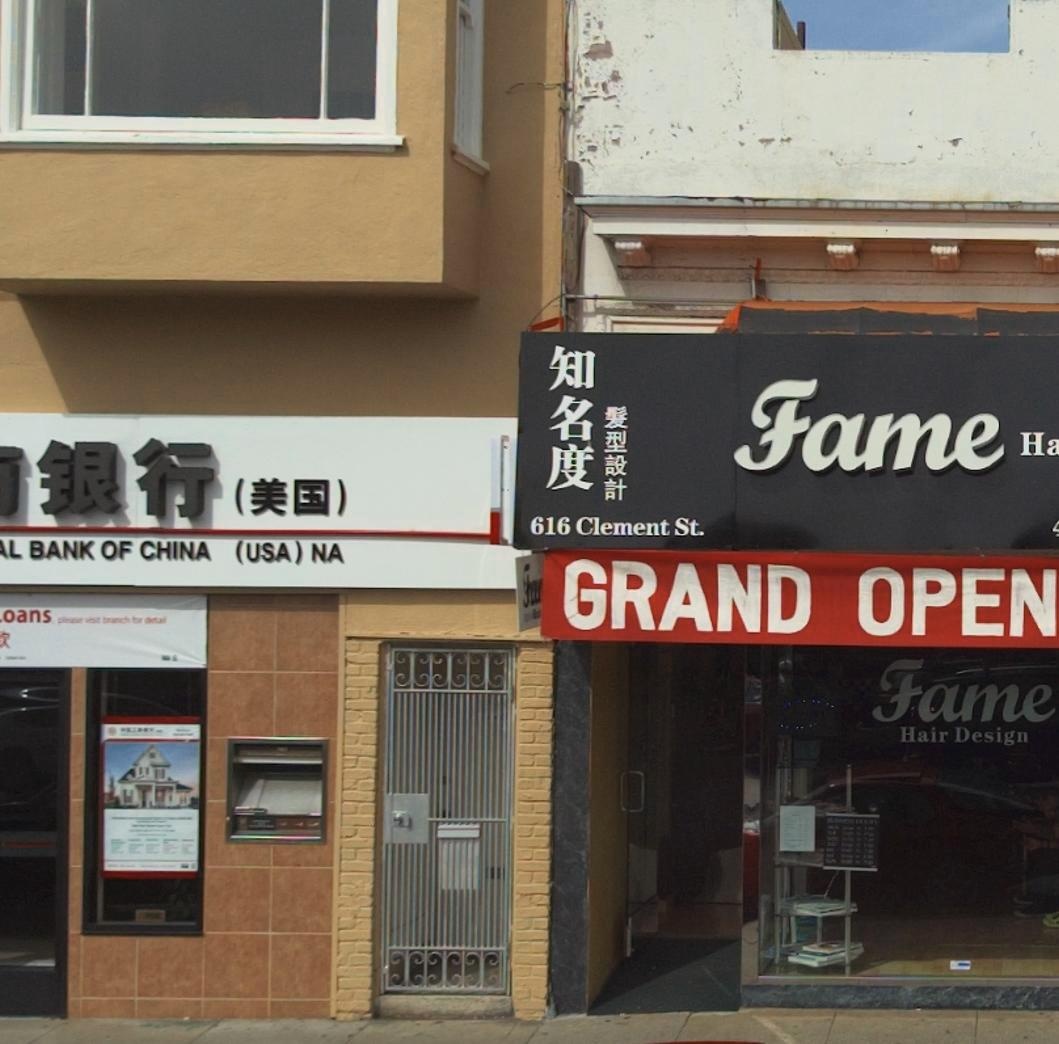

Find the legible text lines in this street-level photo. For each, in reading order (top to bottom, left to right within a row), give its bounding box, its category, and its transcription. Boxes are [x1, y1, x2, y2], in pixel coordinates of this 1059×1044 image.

[732, 377, 1006, 472] BusinessName: Fame
[1019, 431, 1046, 457] BusinessName: H
[530, 515, 572, 536] StreetNumber: 616
[576, 515, 705, 536] StreetName: Clement St.
[8, 539, 346, 564] BusinessName: L BANK OF CHINA (USA) NA
[563, 557, 1058, 638] None: GRAND OPEN
[2, 608, 52, 625] None: oans
[870, 656, 1057, 724] BusinessName: Fame
[898, 726, 1030, 747] BusinessName: Hair Design